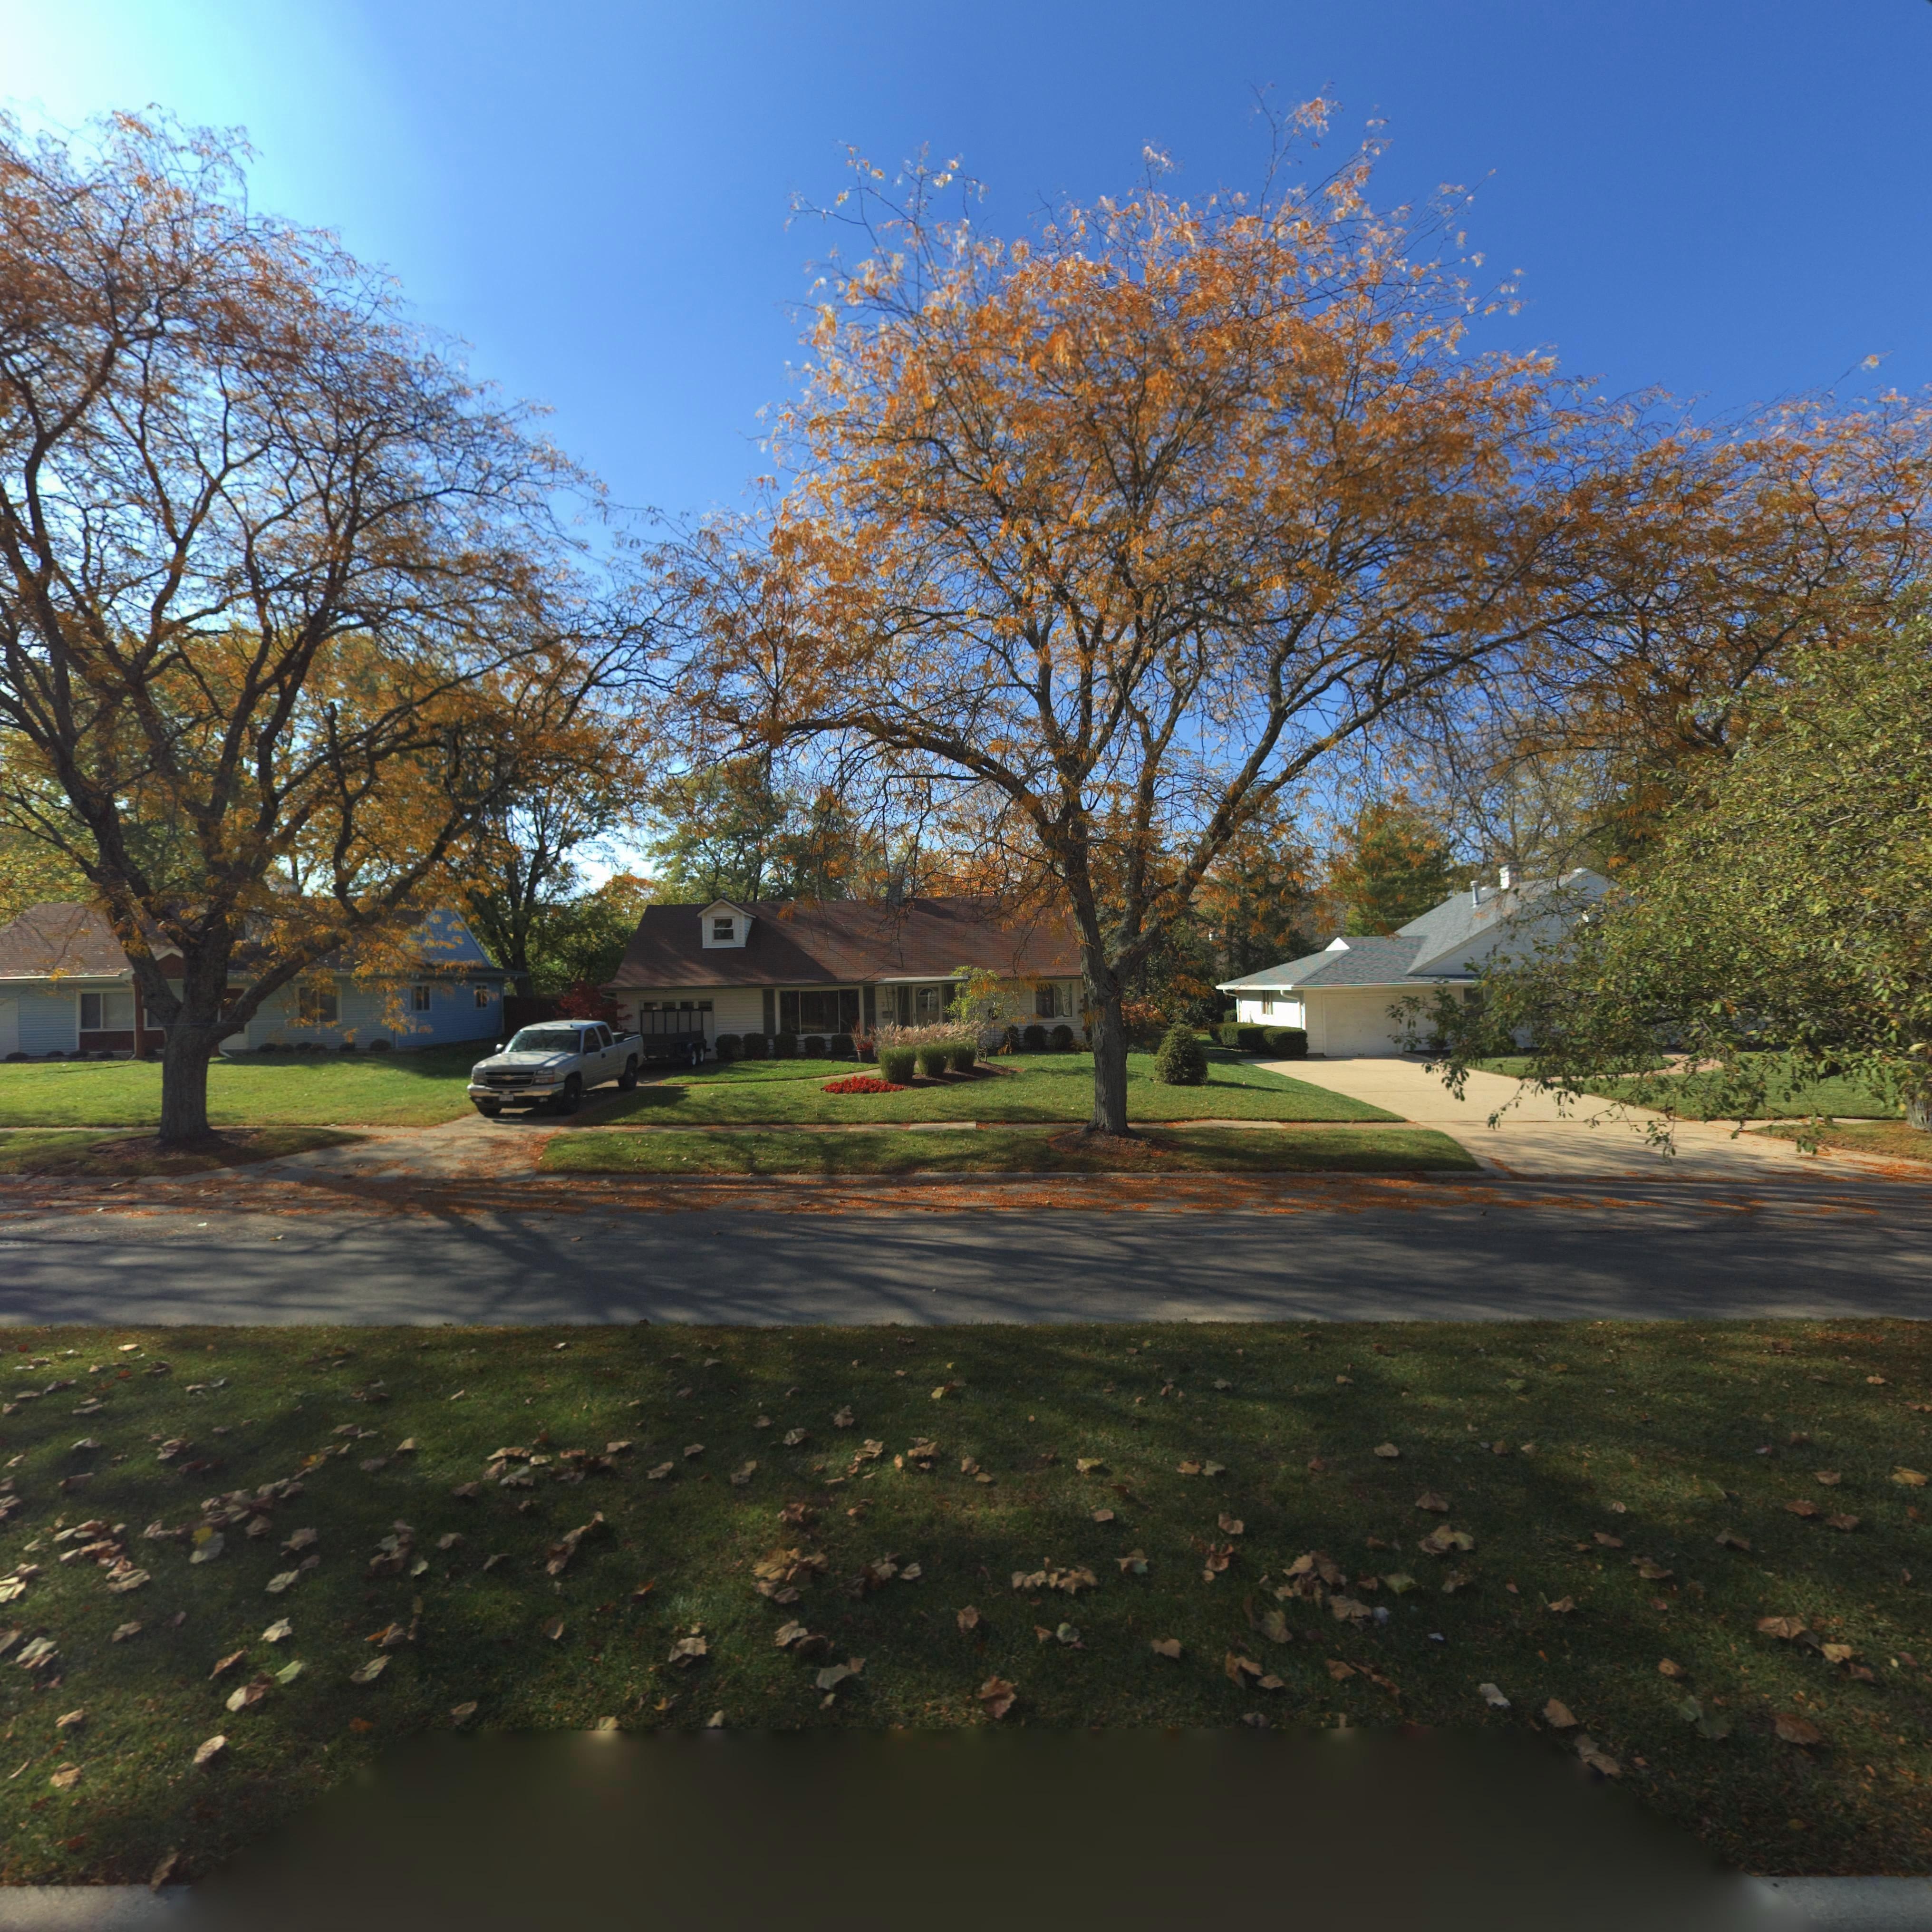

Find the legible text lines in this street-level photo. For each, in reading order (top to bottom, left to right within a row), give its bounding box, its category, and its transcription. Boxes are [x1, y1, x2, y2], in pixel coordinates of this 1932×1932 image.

[881, 1001, 885, 1007] StreetNumber: 3